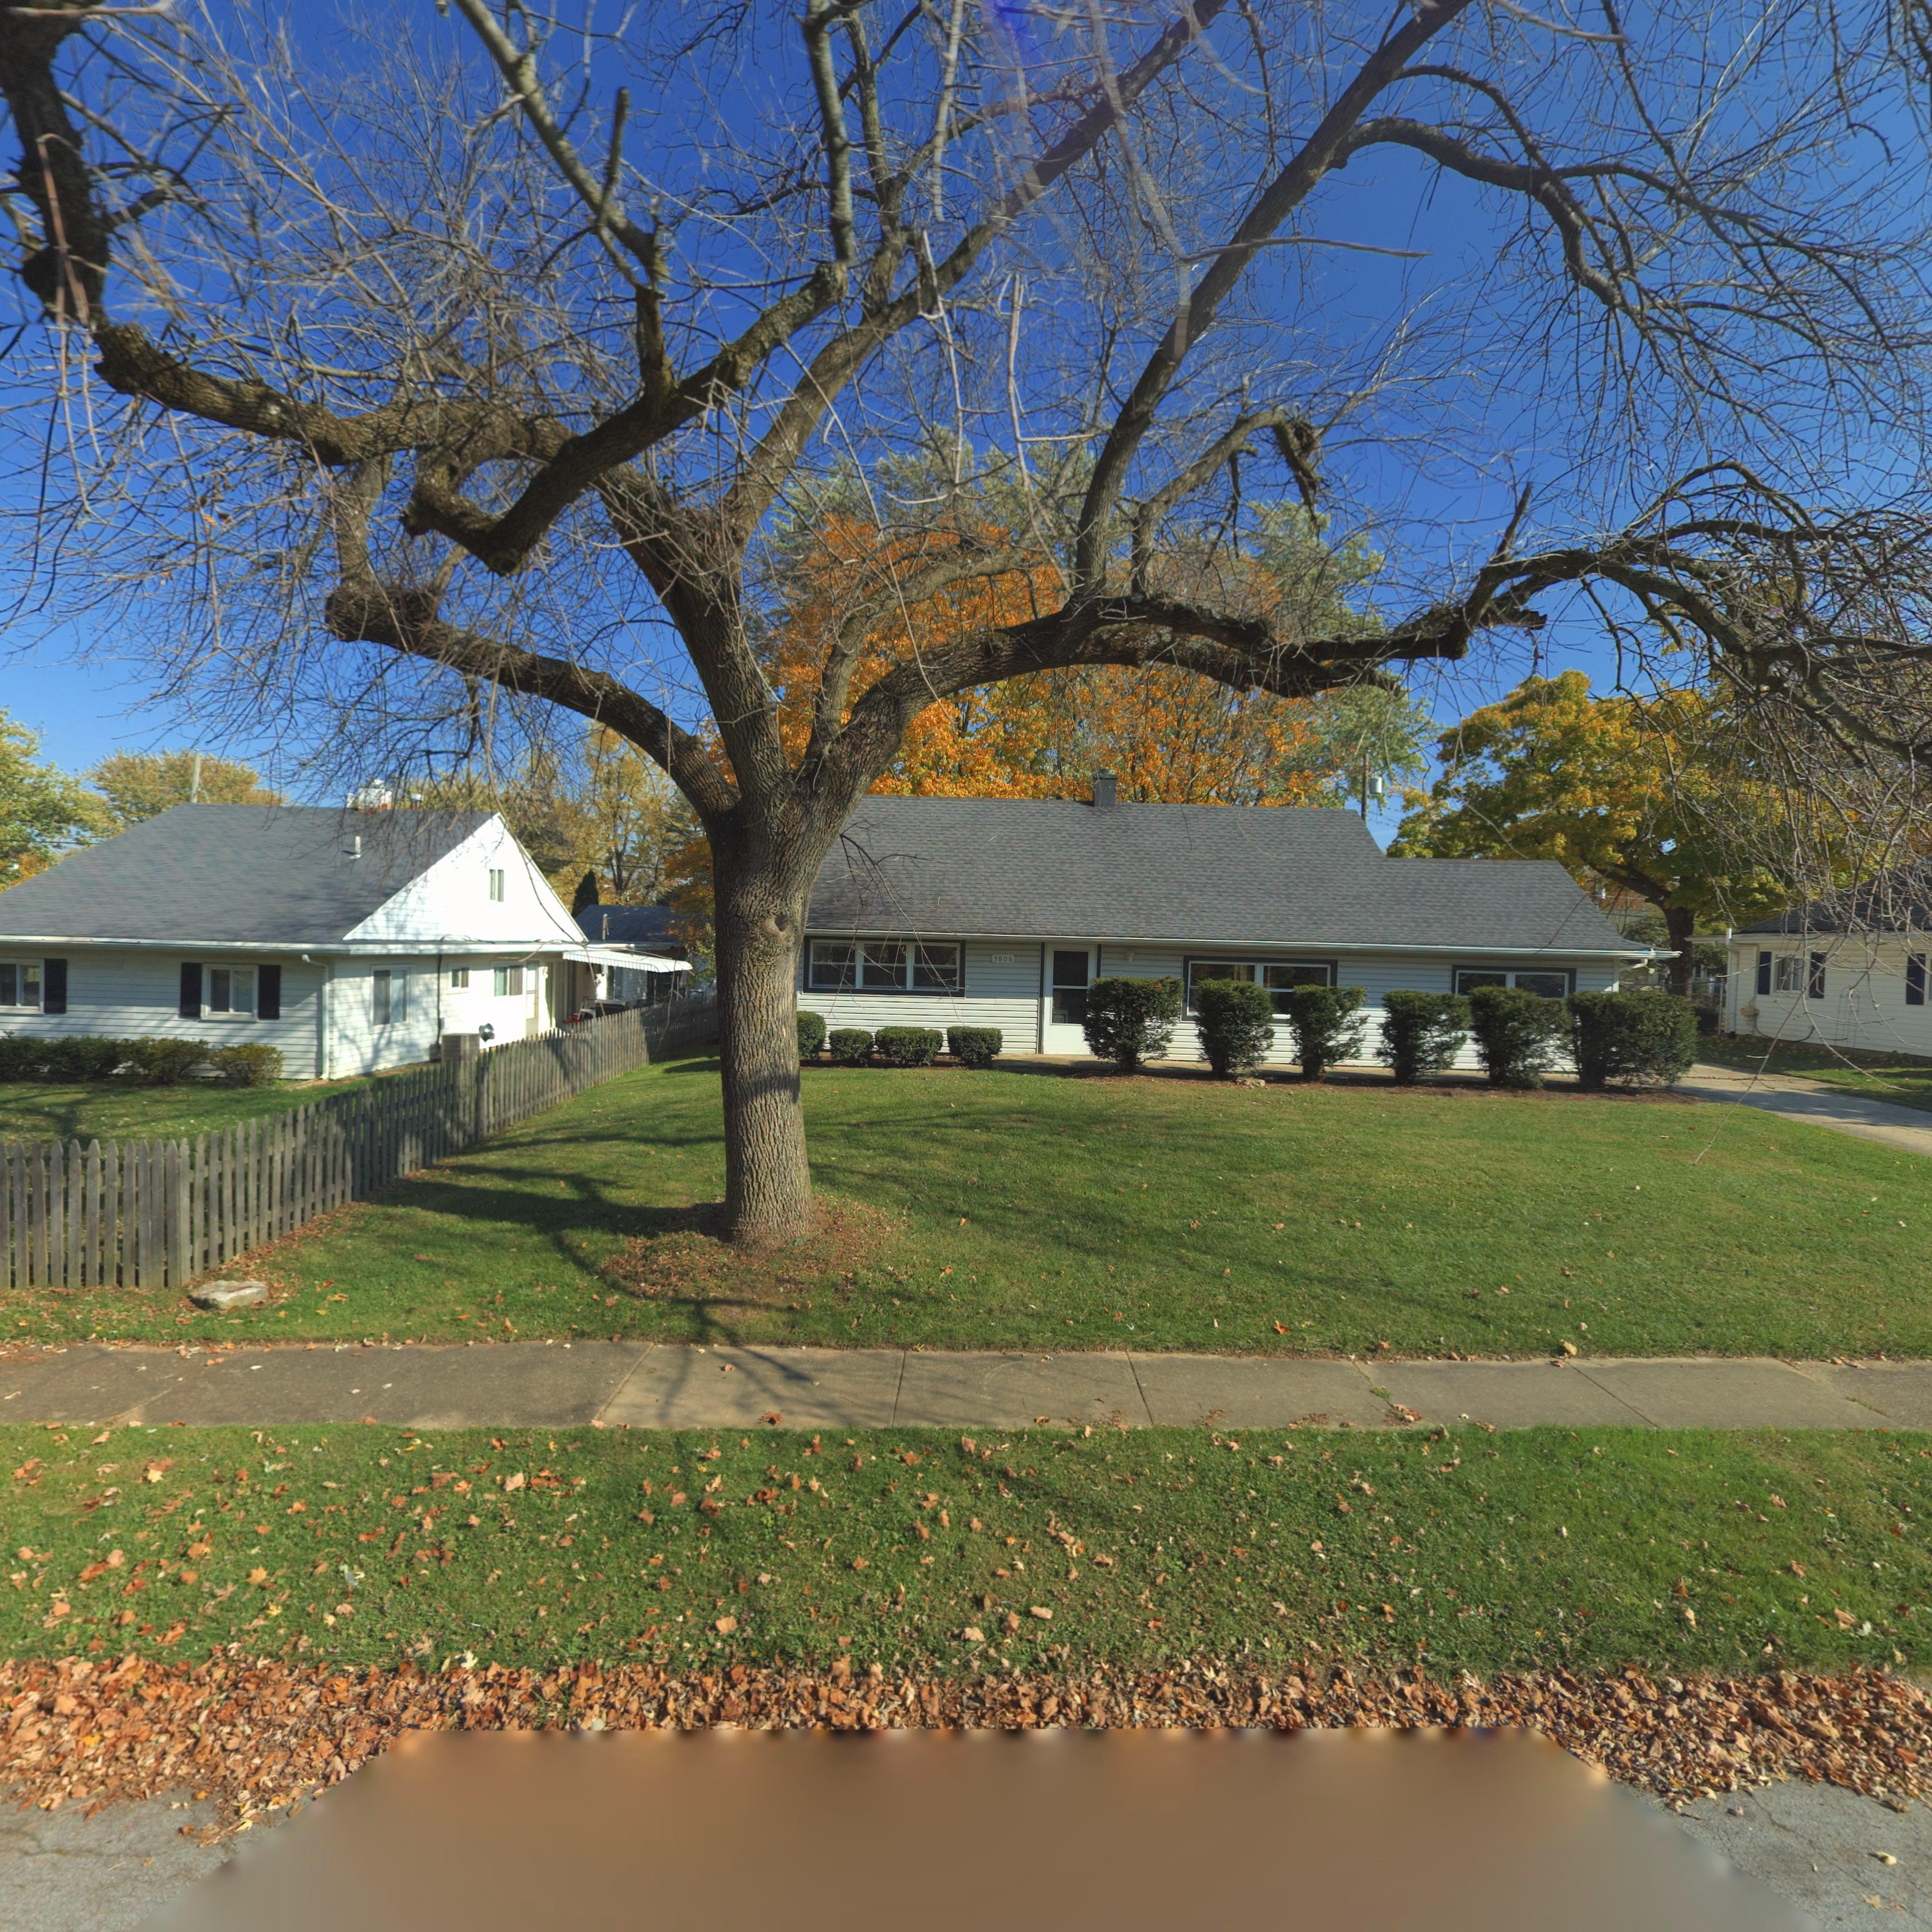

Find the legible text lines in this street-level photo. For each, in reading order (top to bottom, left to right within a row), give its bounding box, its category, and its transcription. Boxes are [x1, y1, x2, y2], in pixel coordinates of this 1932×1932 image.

[993, 955, 1013, 962] StreetNumber: 3806